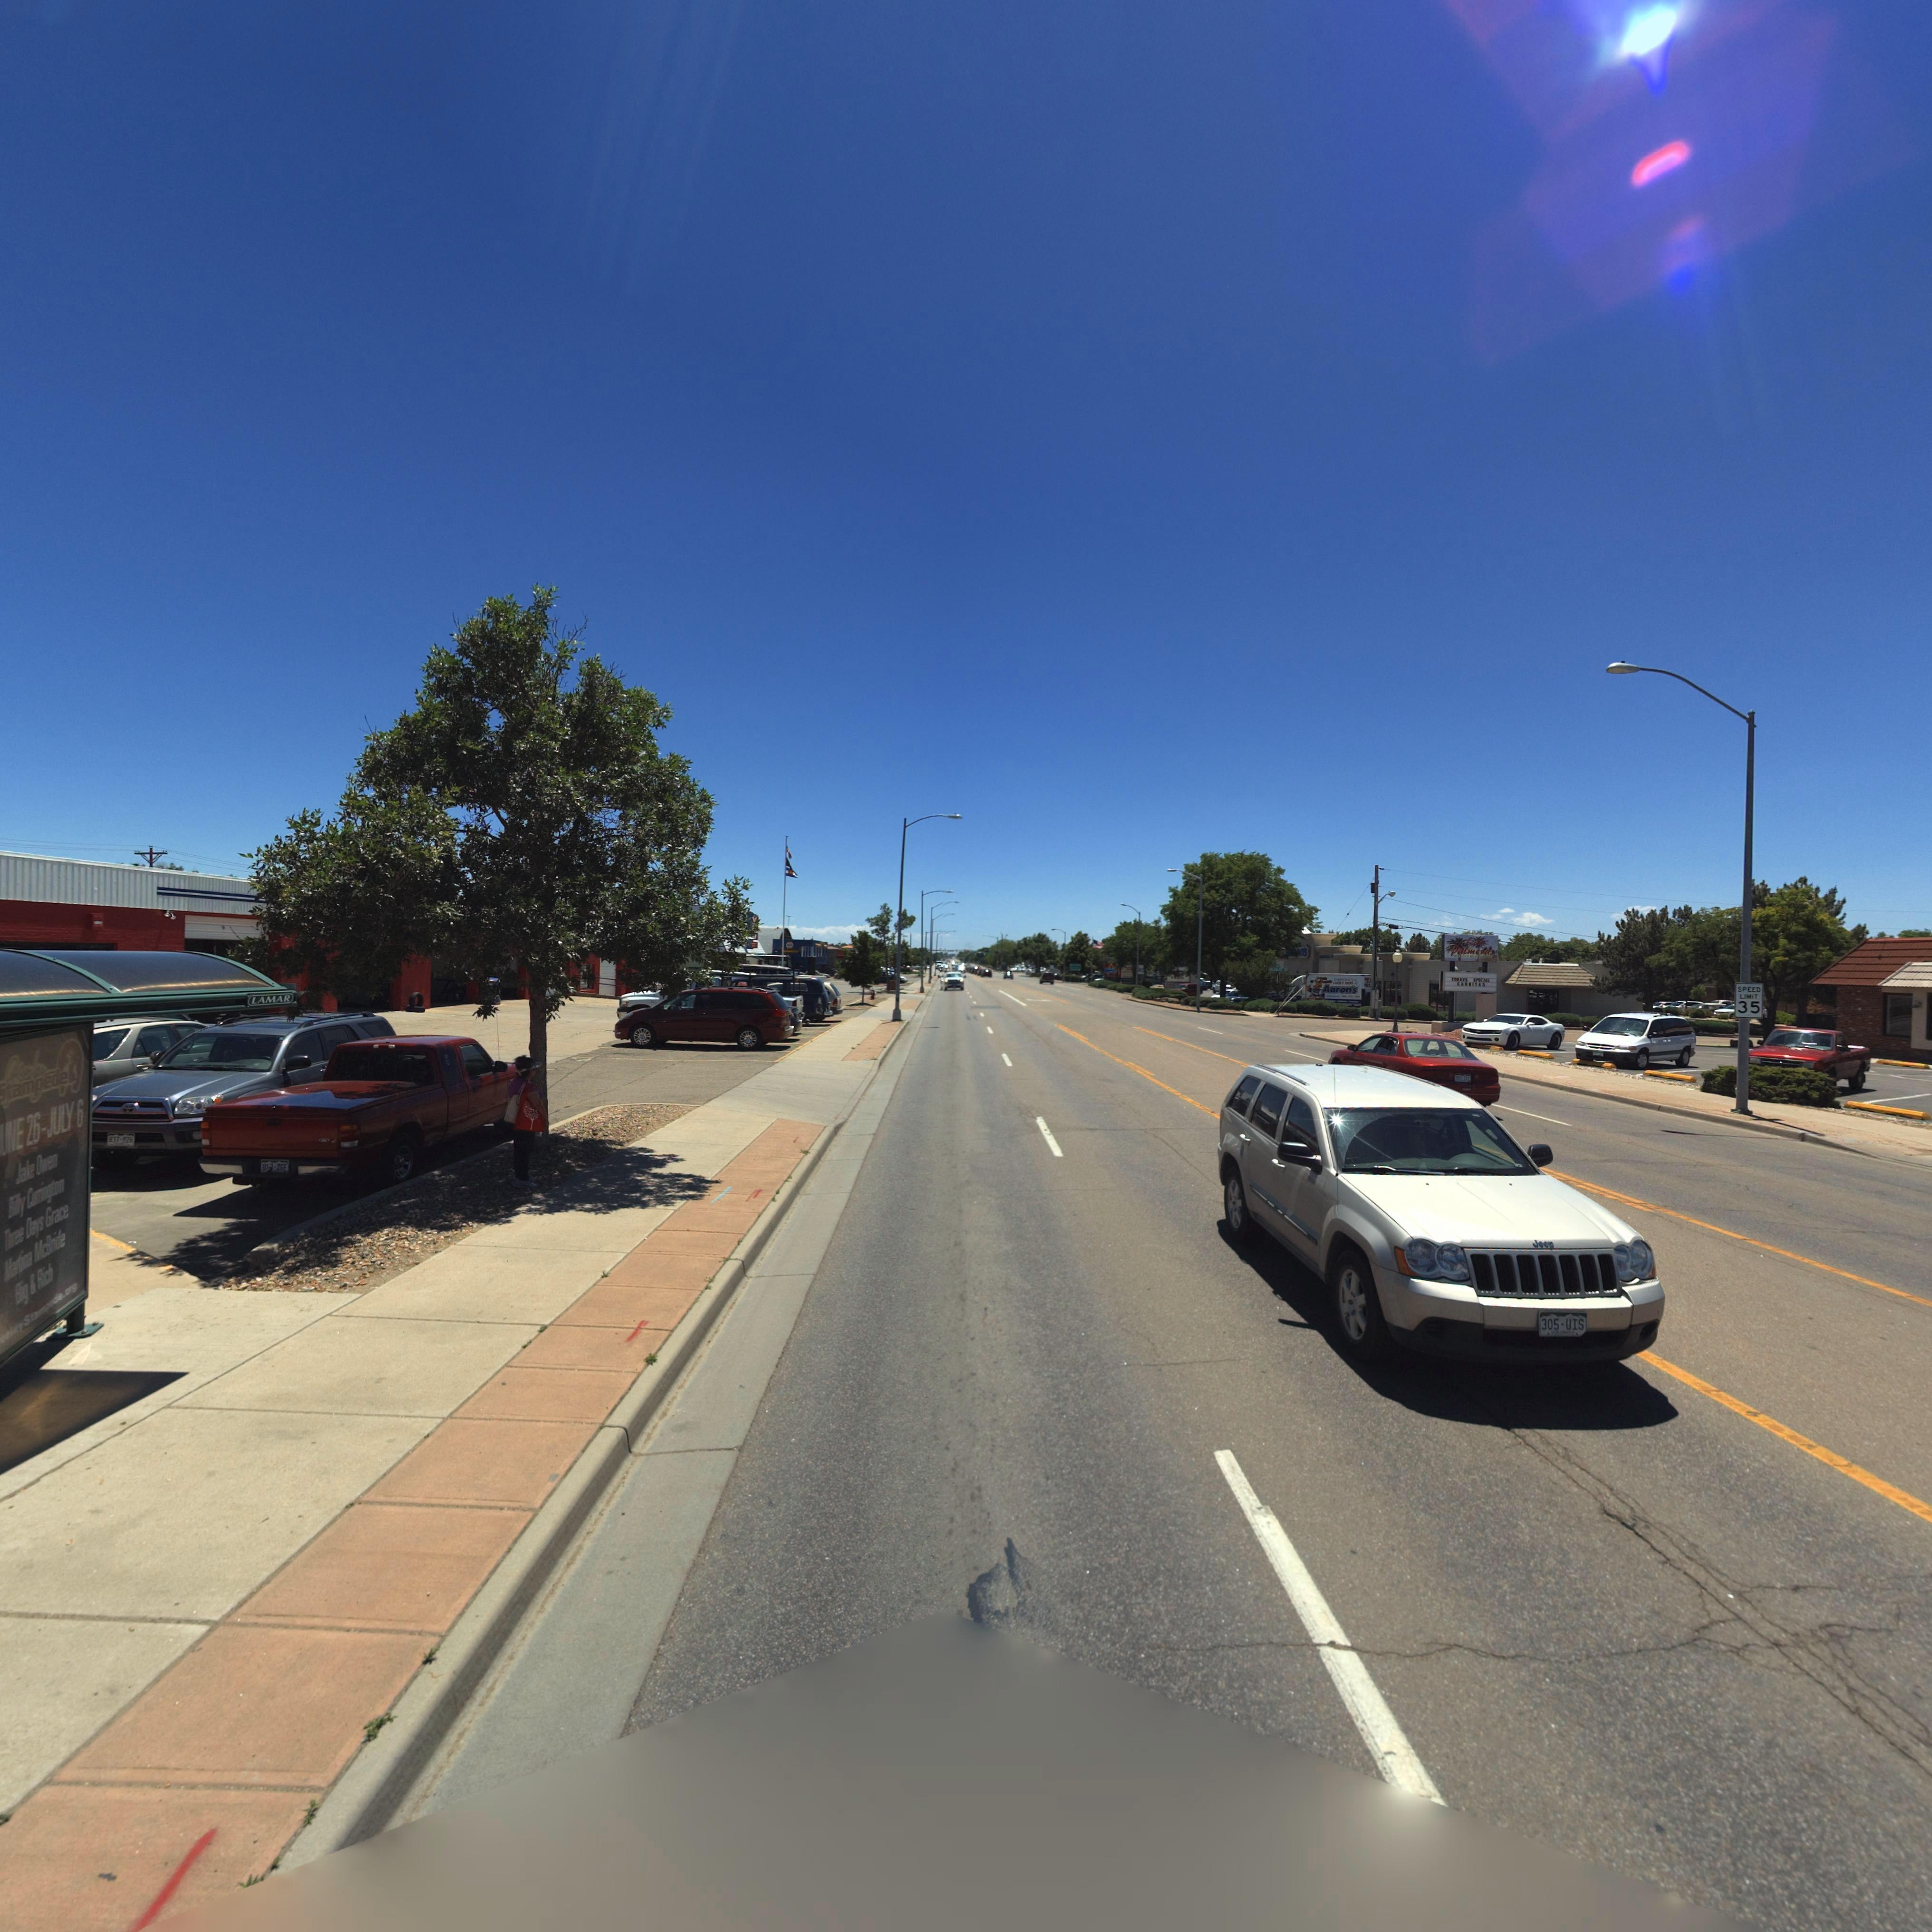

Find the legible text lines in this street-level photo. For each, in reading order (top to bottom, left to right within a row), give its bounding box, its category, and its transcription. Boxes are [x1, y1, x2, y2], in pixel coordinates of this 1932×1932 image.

[752, 917, 757, 922] BusinessName: V
[1465, 937, 1484, 947] BusinessName: Las
[1300, 946, 1307, 957] BusinessName: n's
[1449, 944, 1495, 956] BusinessName: Palmeras
[1542, 1319, 1583, 1330] PhoneNumber: 305 1115